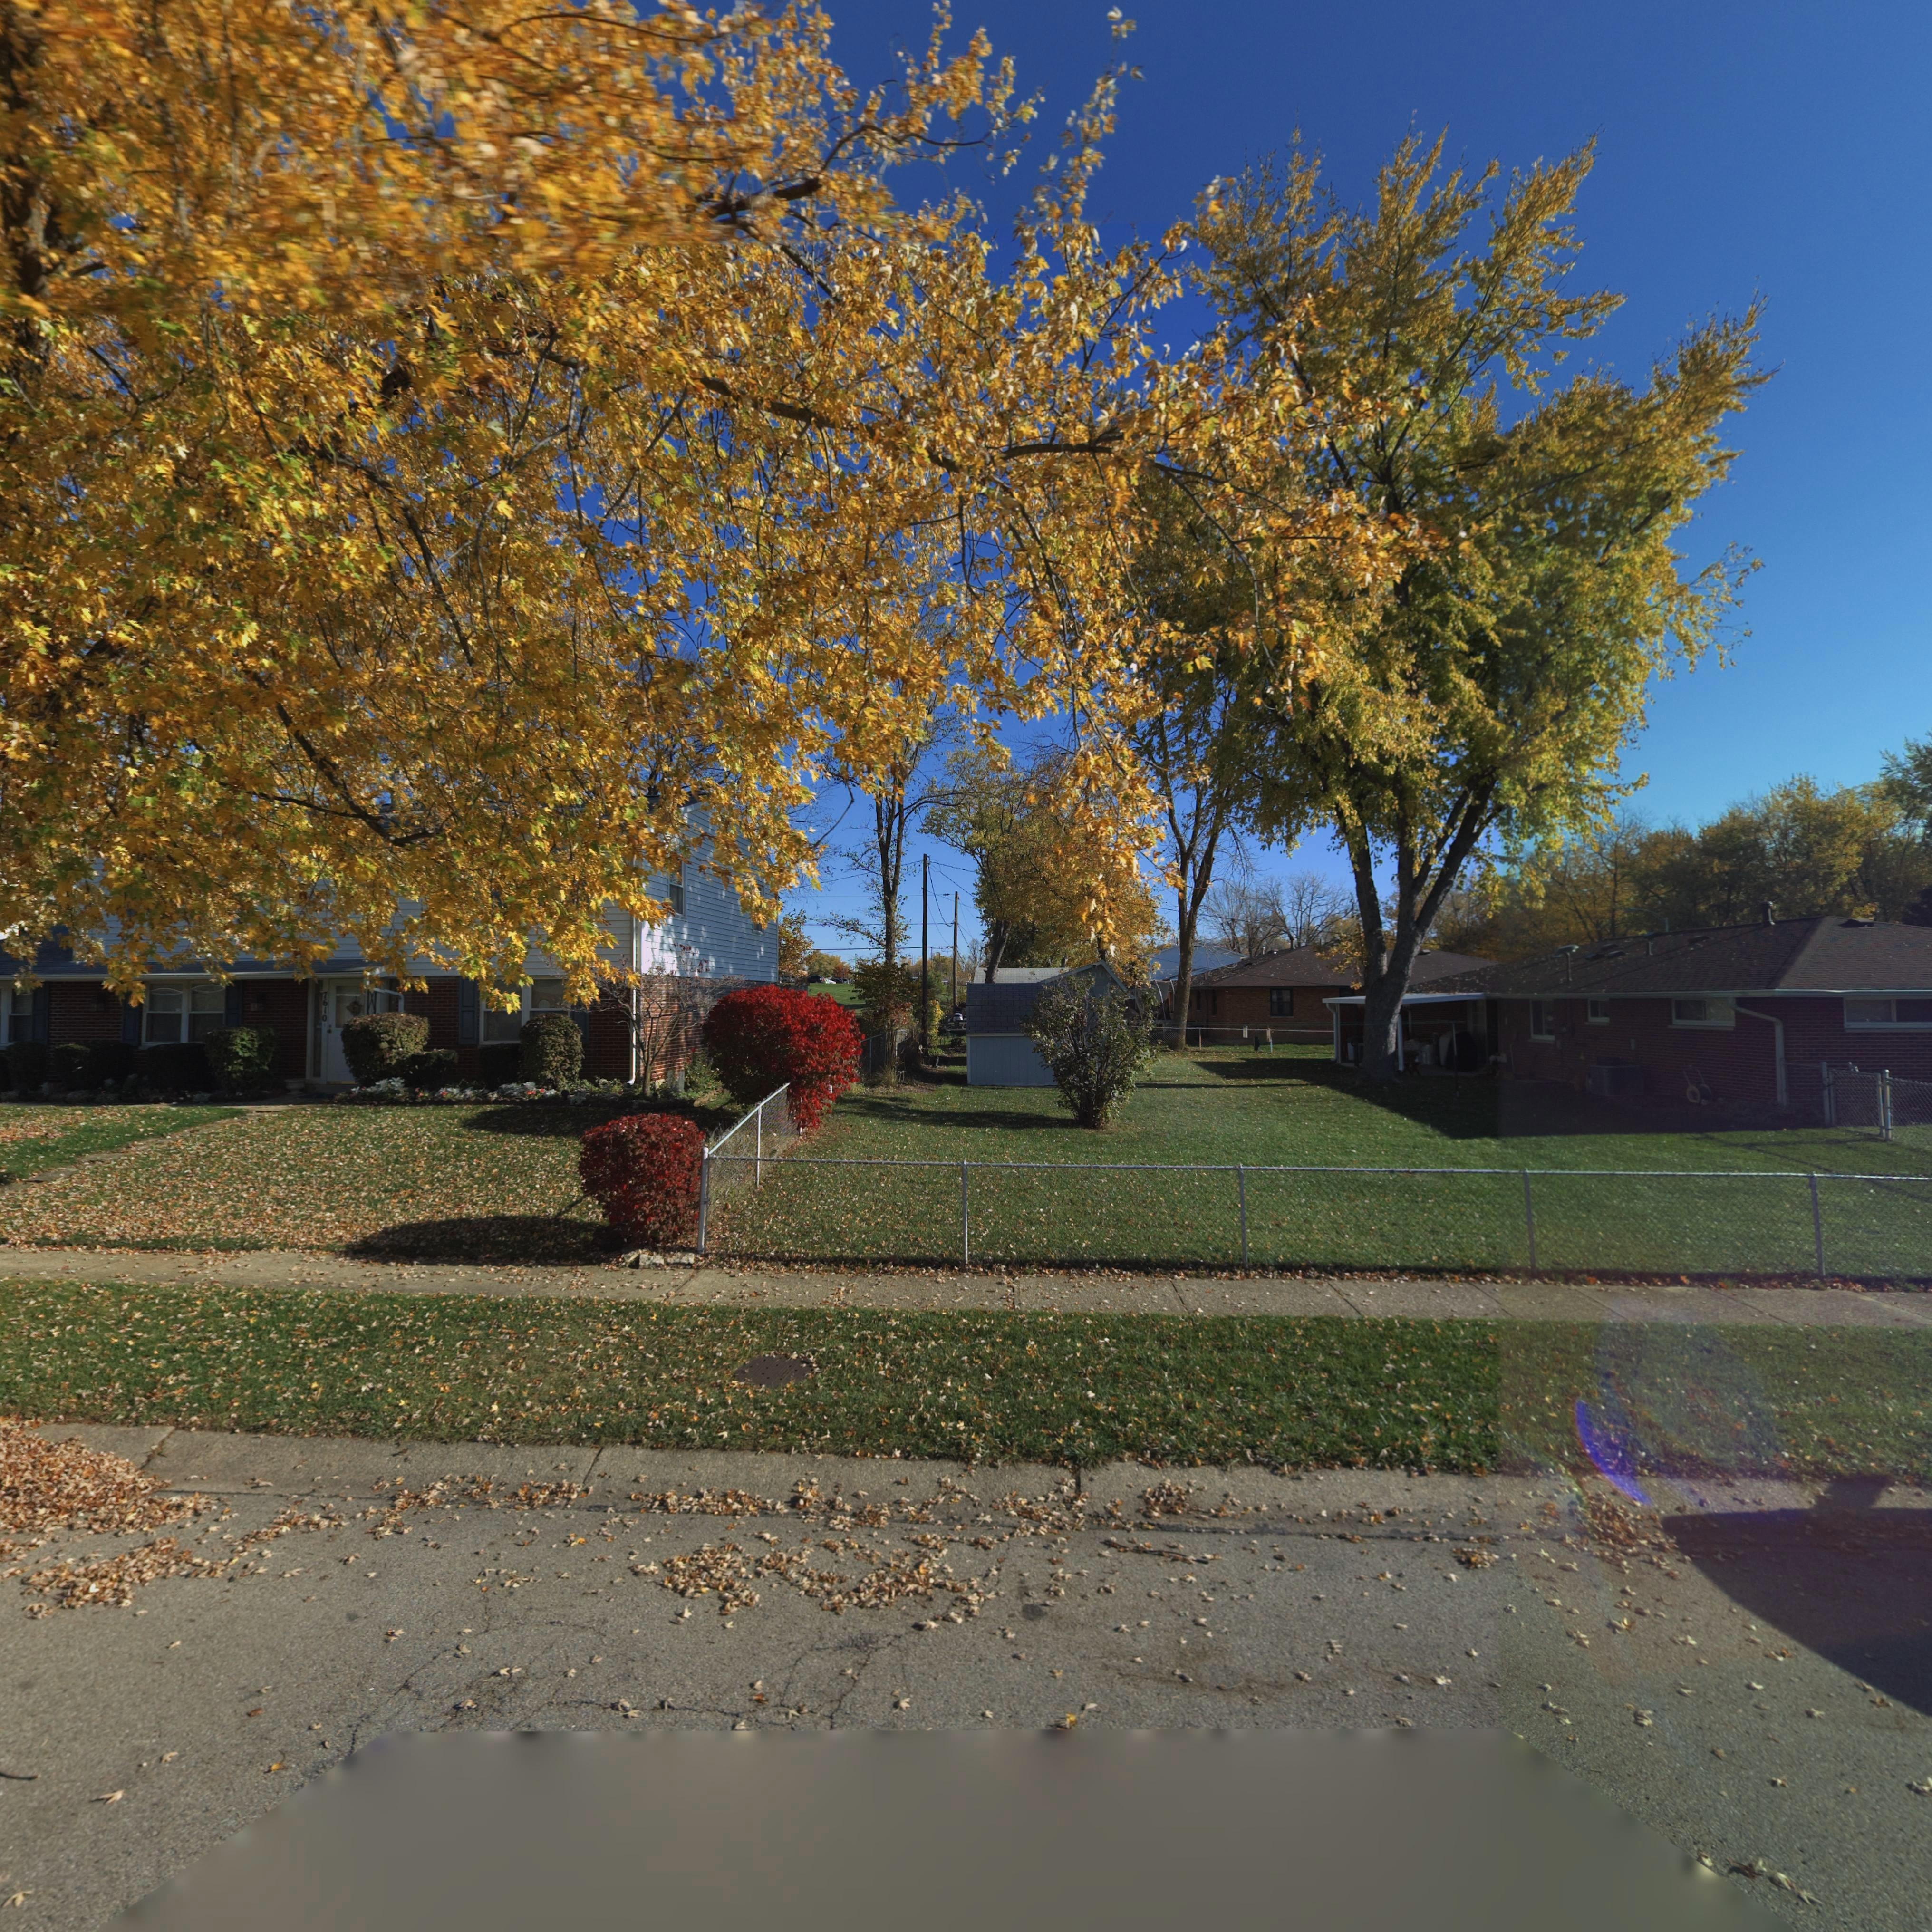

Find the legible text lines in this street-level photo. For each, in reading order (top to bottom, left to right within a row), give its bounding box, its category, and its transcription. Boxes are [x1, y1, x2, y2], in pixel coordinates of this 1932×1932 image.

[321, 991, 328, 1023] StreetNumber: 7610